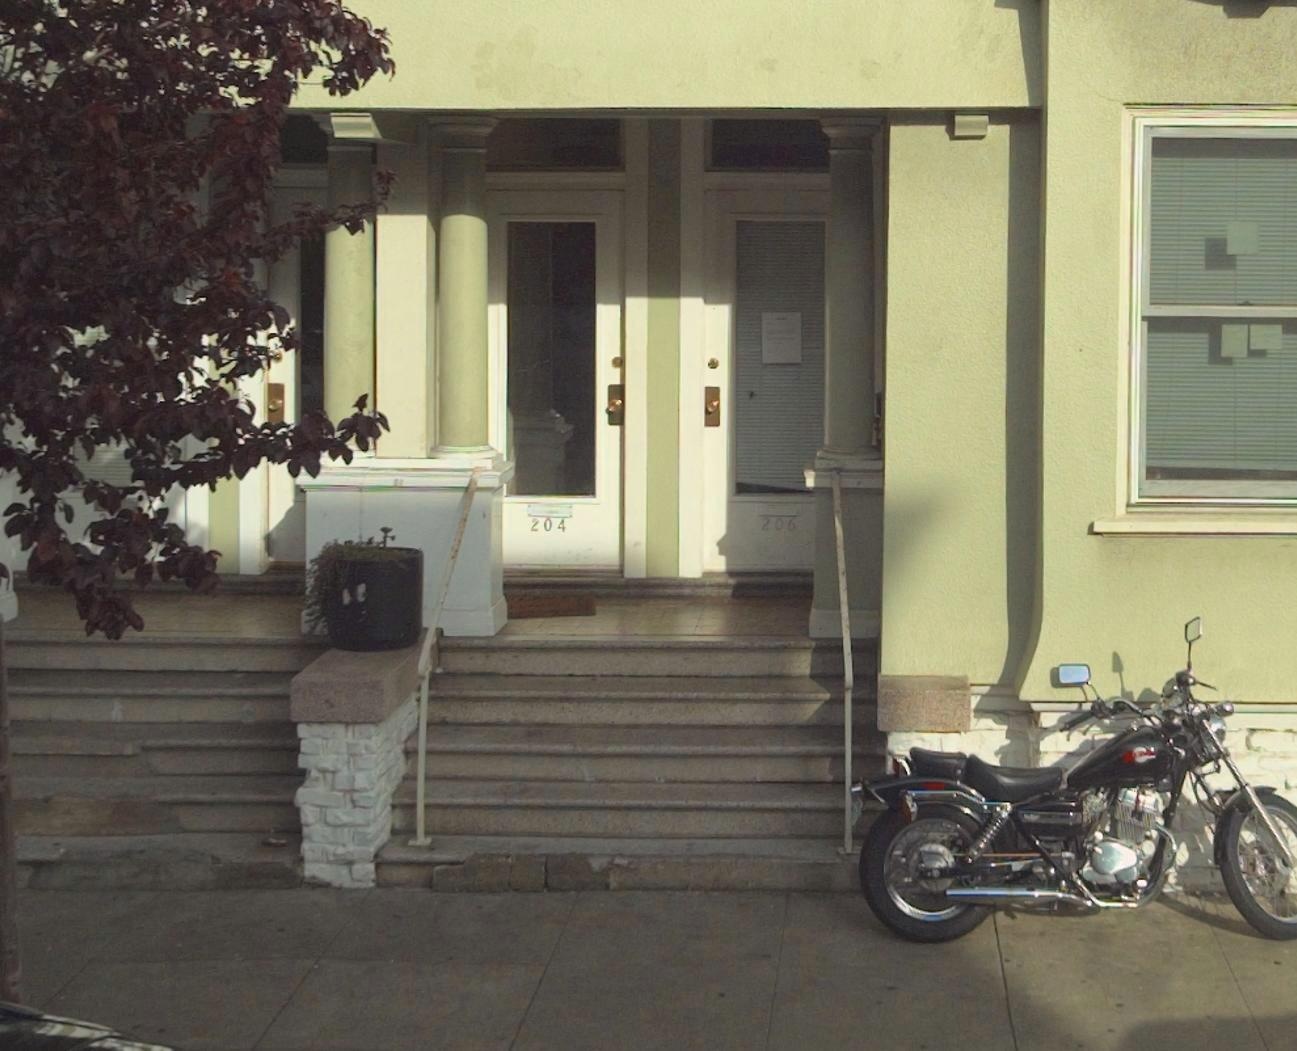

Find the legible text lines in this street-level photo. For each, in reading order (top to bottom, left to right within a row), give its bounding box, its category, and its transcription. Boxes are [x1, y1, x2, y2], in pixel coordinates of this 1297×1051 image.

[529, 516, 568, 534] StreetNumber: 204
[760, 514, 798, 533] StreetNumber: 206